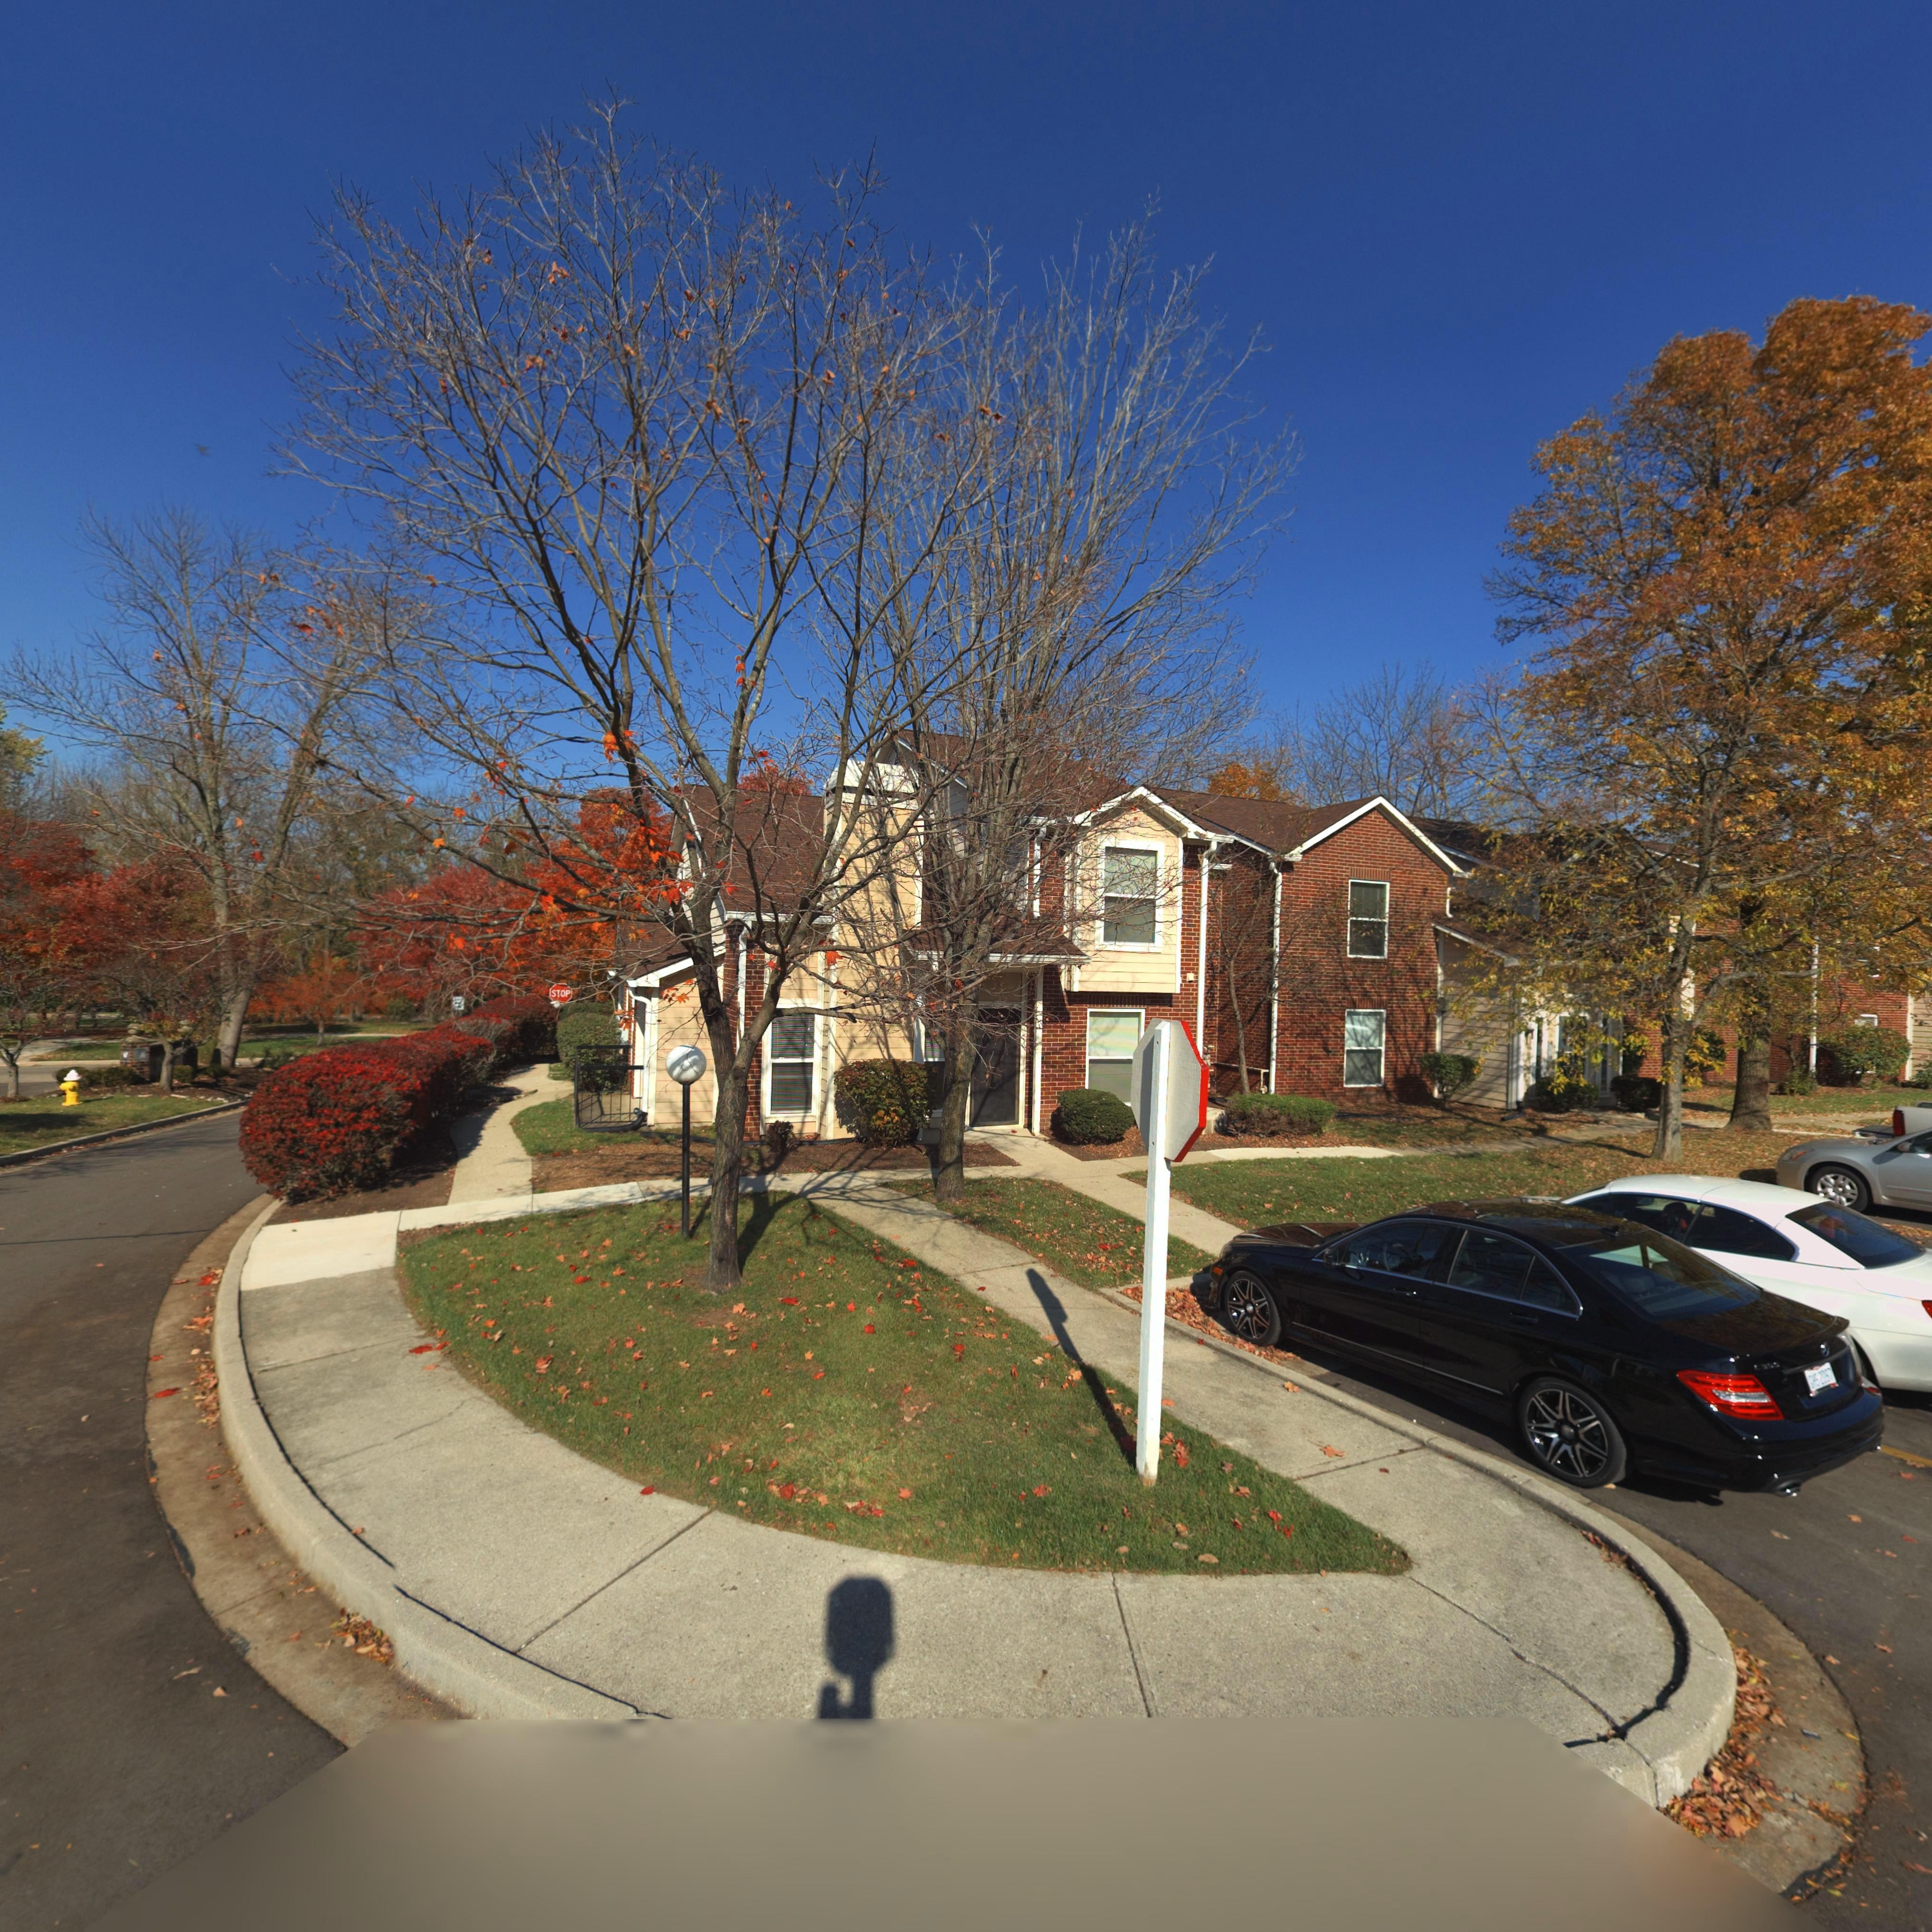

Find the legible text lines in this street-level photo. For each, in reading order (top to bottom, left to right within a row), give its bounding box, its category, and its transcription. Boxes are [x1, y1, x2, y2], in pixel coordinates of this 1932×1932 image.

[551, 989, 571, 998] None: STOP